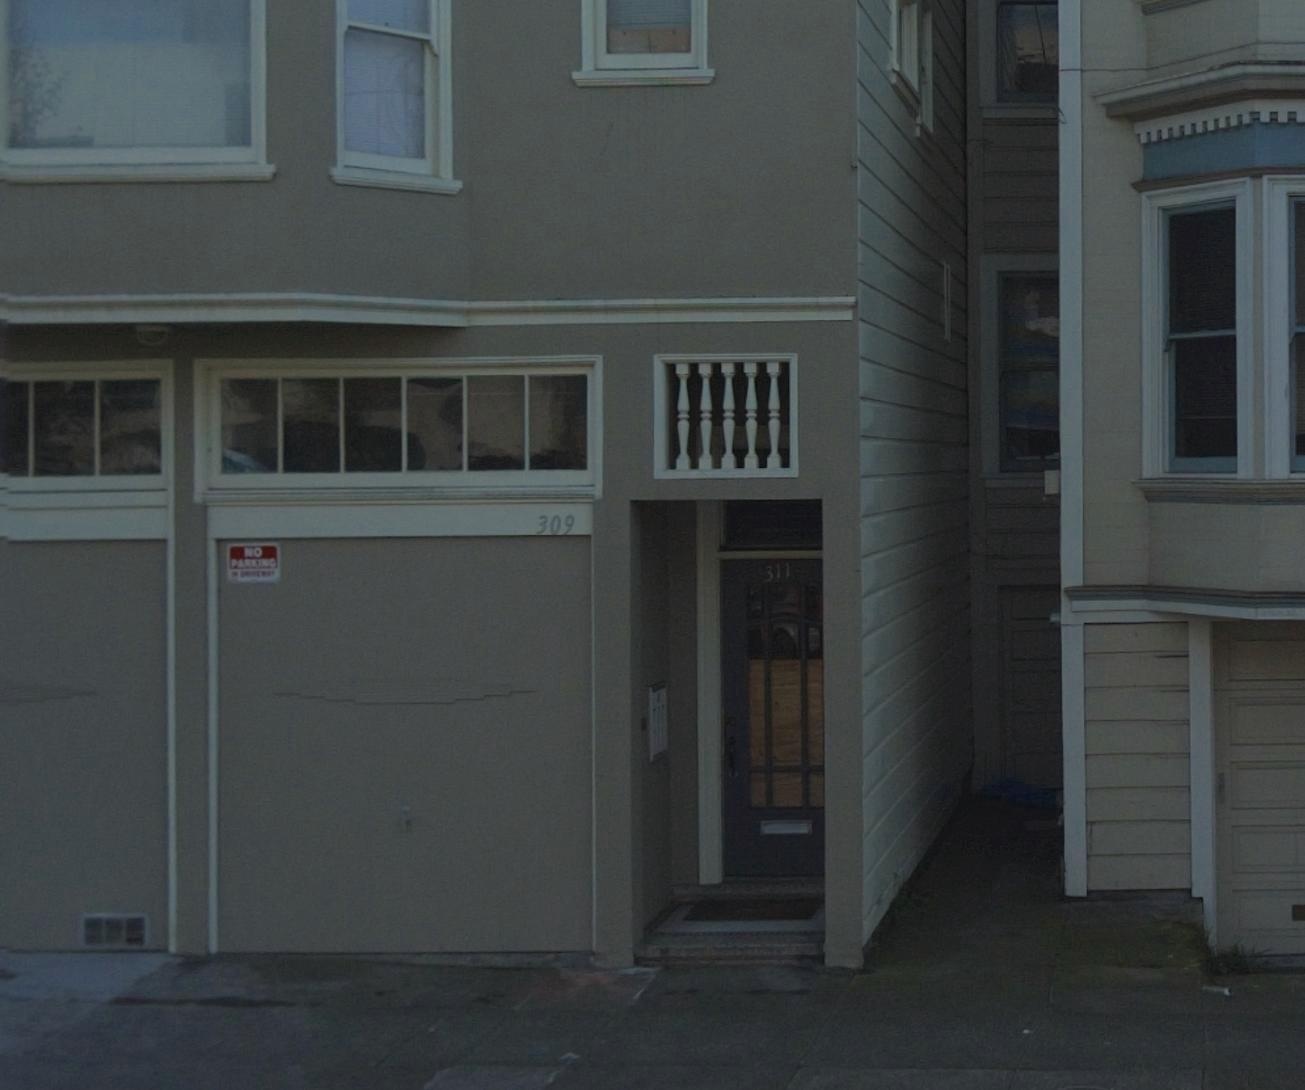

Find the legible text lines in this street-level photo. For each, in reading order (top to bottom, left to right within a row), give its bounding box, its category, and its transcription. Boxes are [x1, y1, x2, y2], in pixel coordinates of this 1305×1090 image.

[534, 513, 577, 537] StreetNumber: 309
[241, 545, 266, 560] None: NO
[228, 556, 280, 570] None: PARKING
[762, 561, 792, 584] StreetNumber: 311